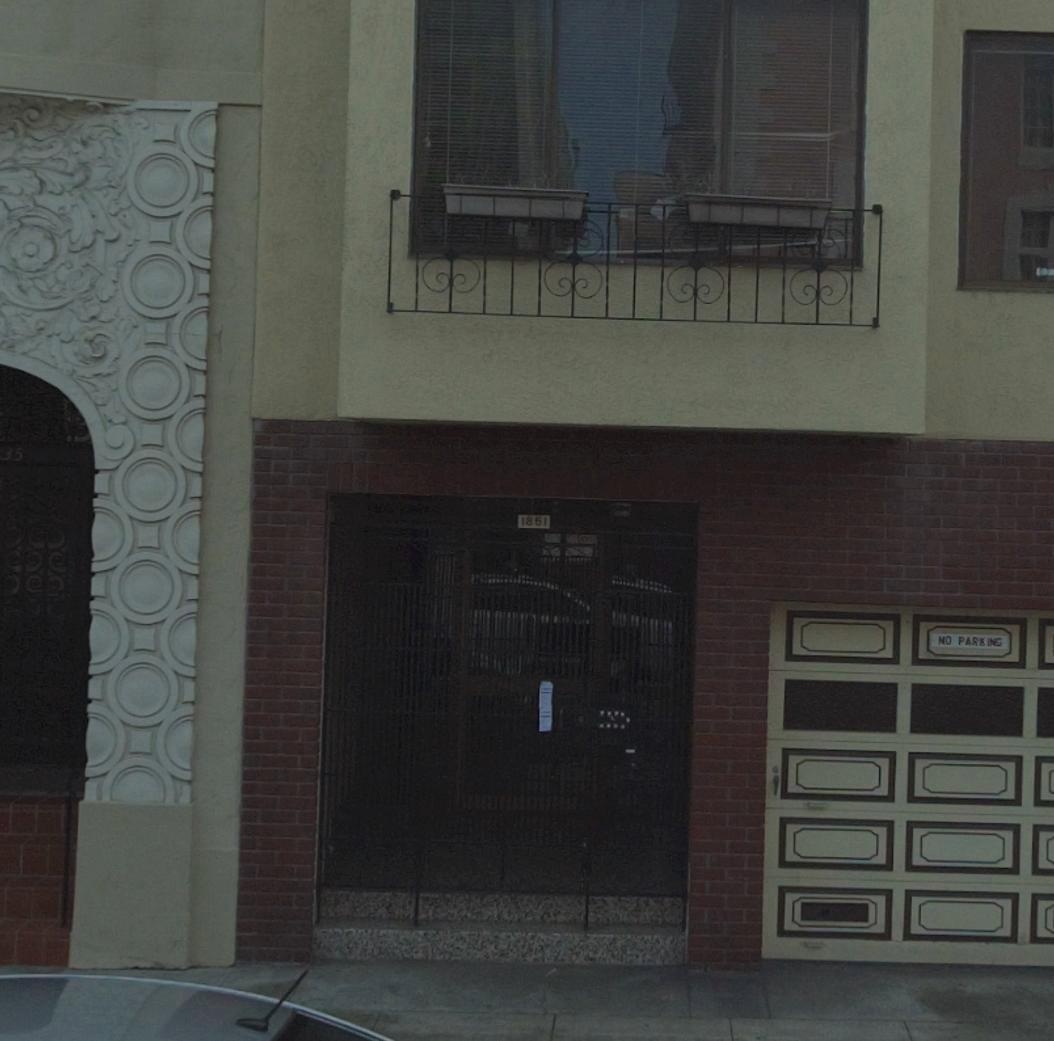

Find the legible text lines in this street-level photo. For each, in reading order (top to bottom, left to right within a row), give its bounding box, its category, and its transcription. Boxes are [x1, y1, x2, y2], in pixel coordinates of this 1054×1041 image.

[518, 514, 550, 528] StreetNumber: 1851
[936, 633, 1005, 649] None: NO PARKING